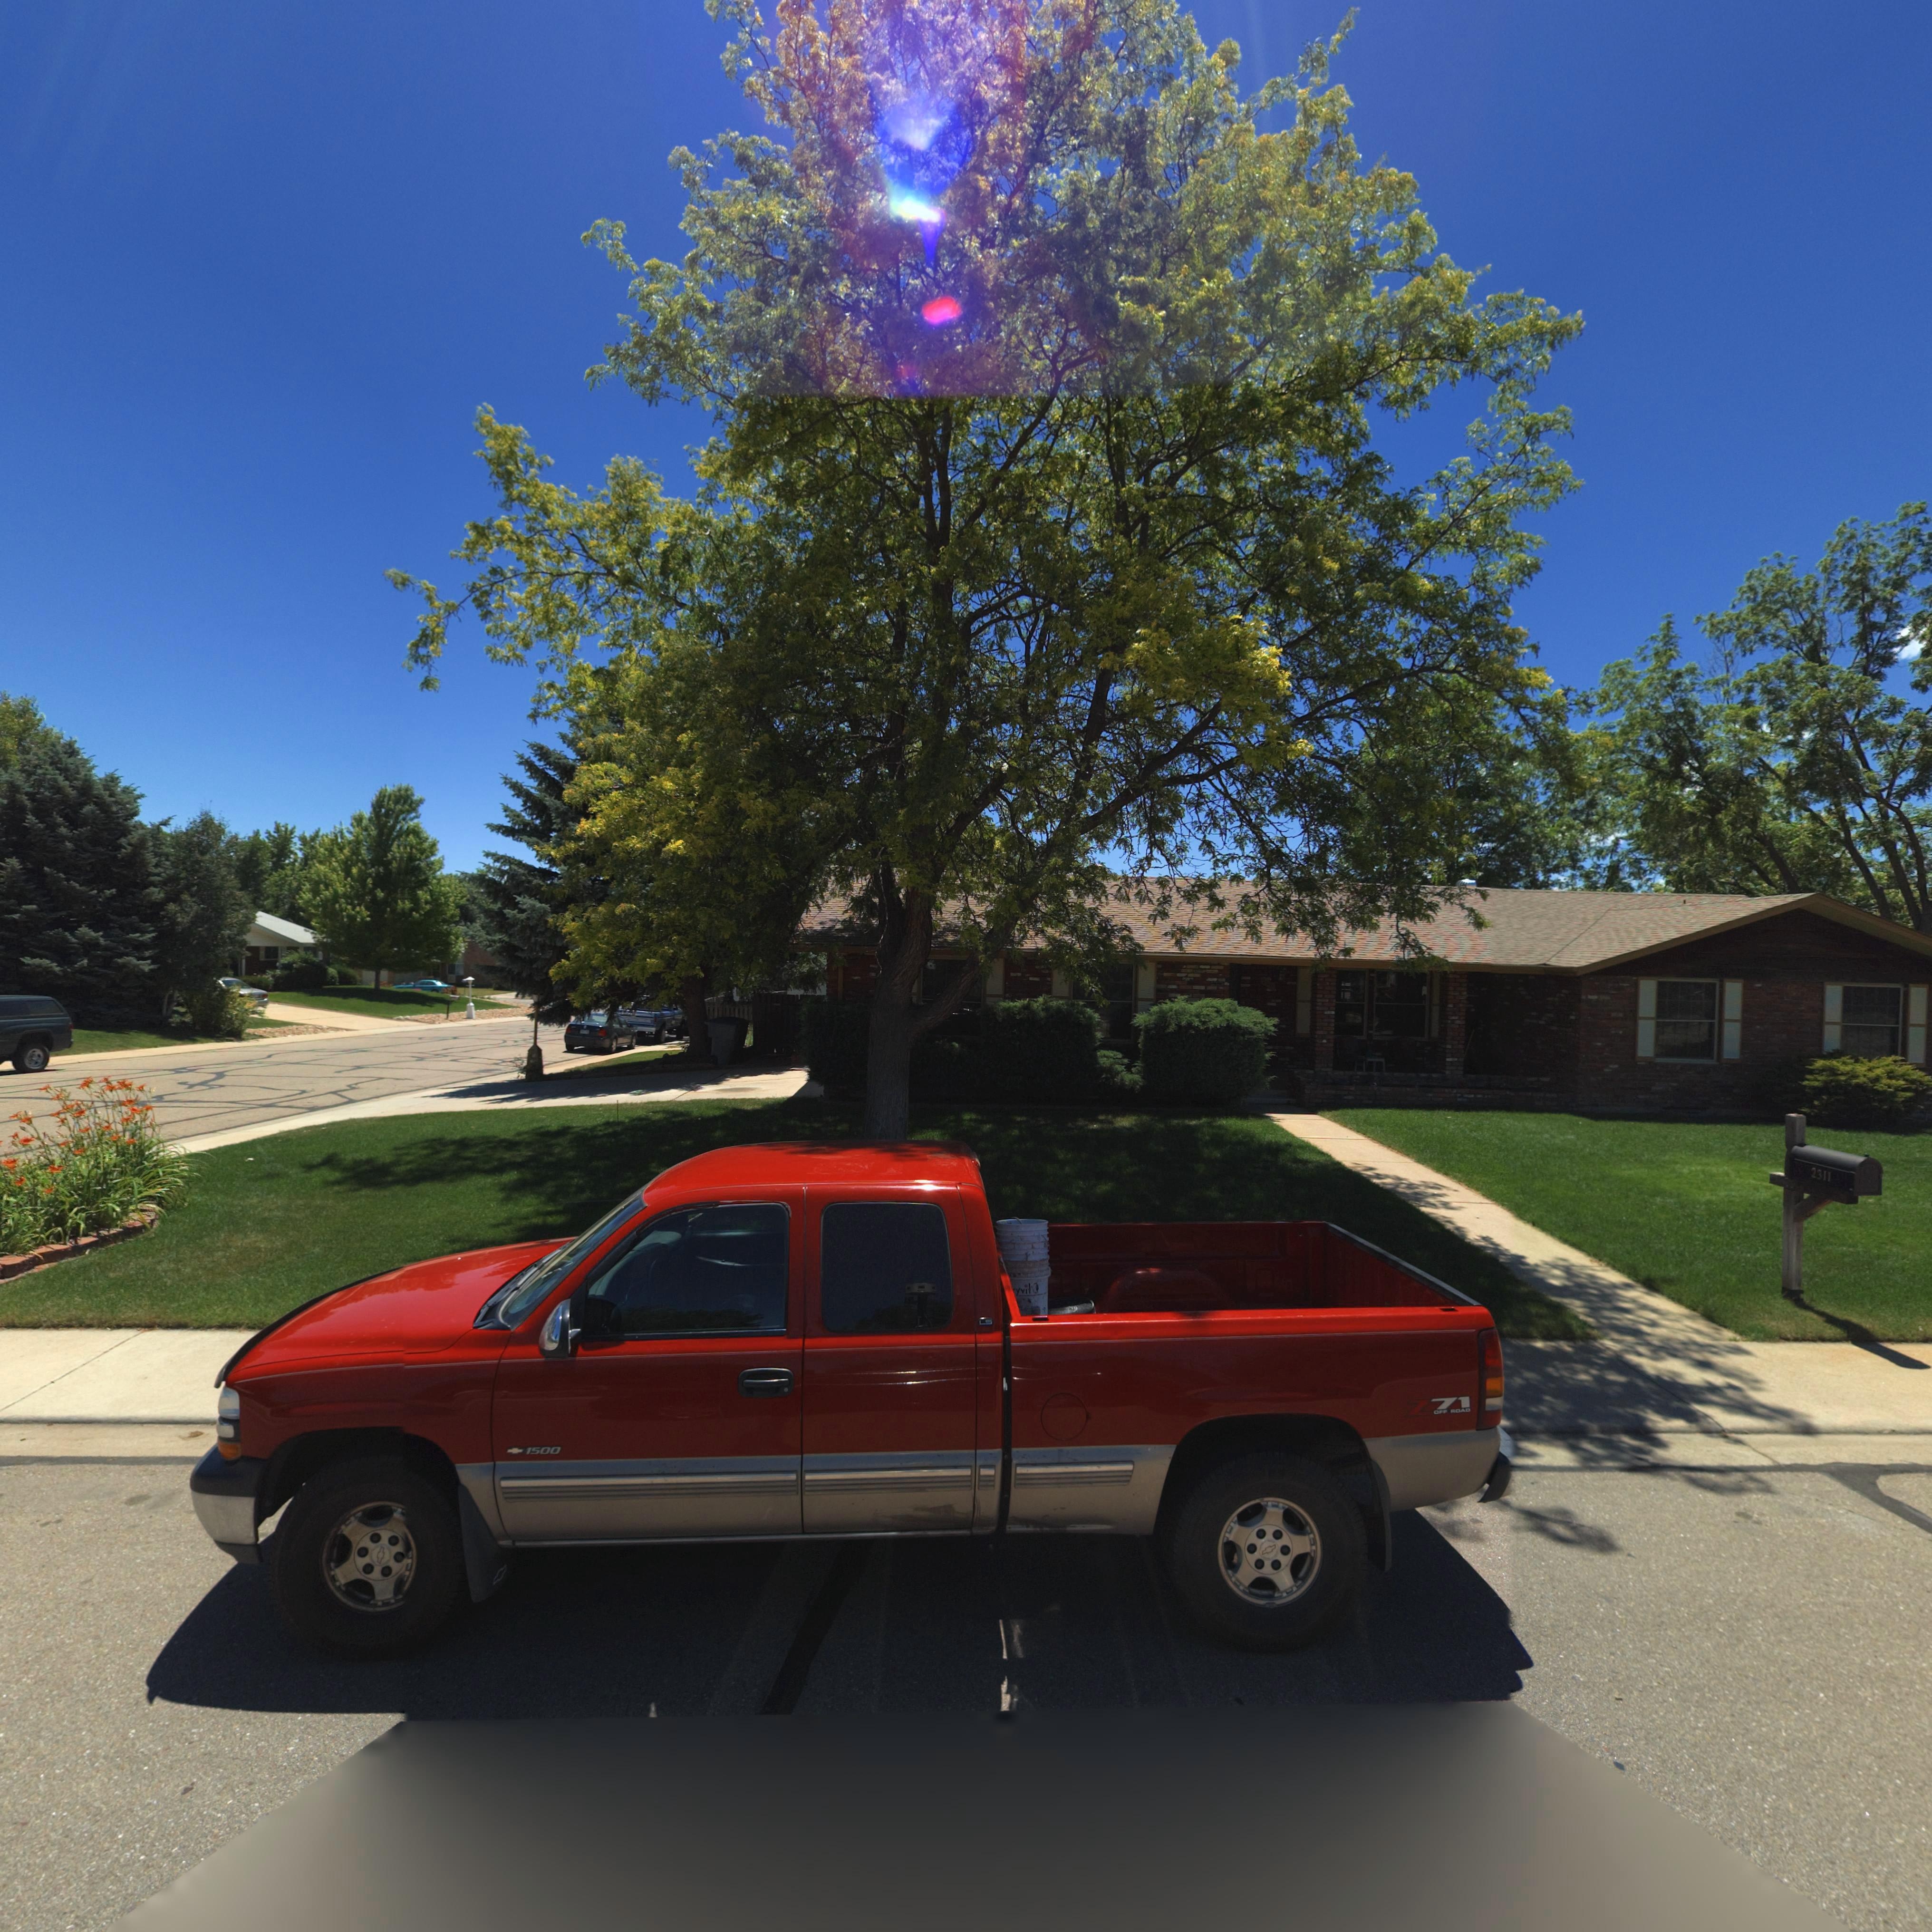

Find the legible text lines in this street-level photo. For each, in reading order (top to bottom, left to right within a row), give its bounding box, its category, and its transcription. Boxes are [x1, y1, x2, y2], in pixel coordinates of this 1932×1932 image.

[1810, 1167, 1831, 1183] StreetNumber: 2311